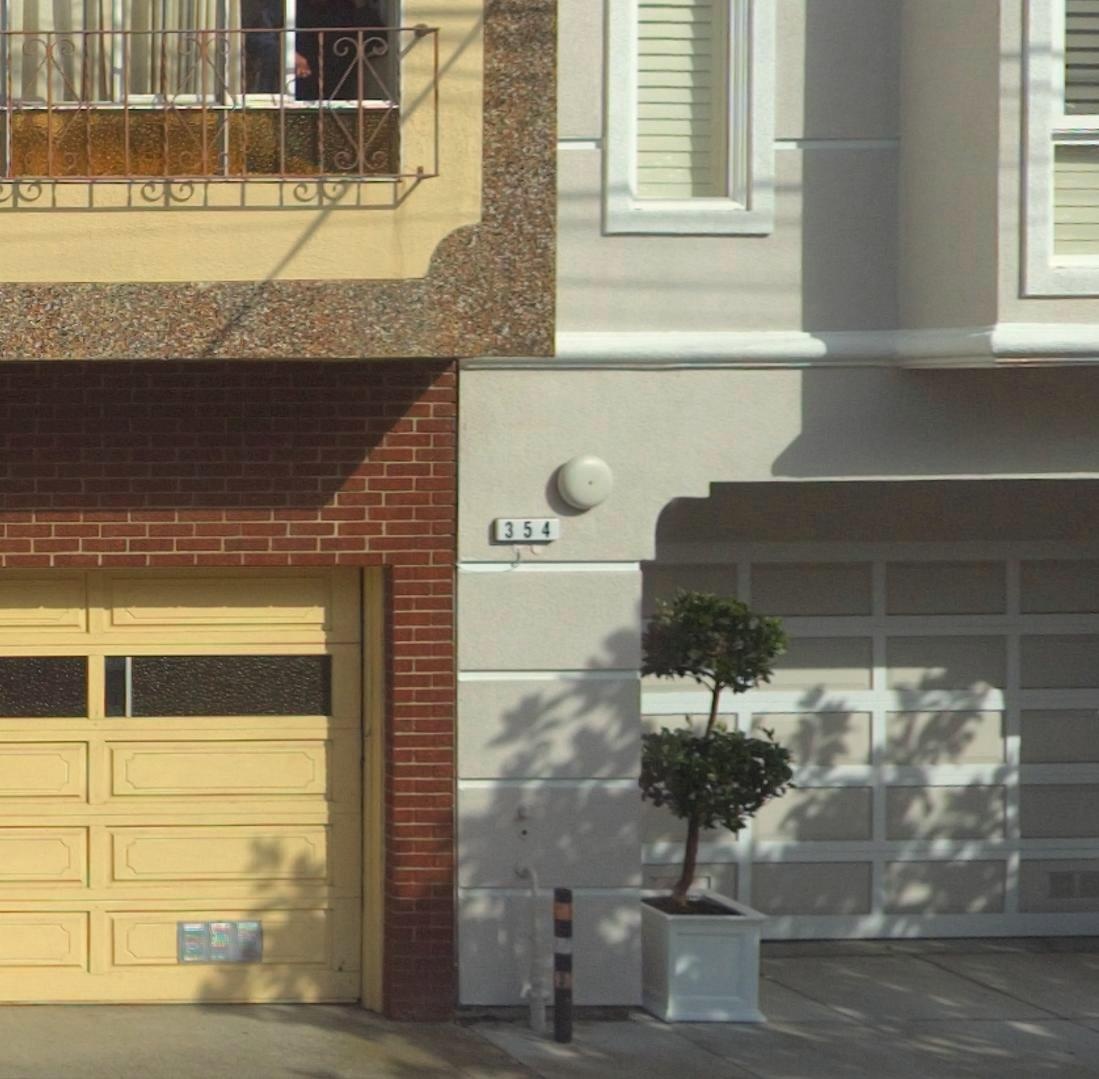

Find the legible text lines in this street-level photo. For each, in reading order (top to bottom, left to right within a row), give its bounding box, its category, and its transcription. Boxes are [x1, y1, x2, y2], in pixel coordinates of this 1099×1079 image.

[504, 520, 552, 539] StreetNumber: 354